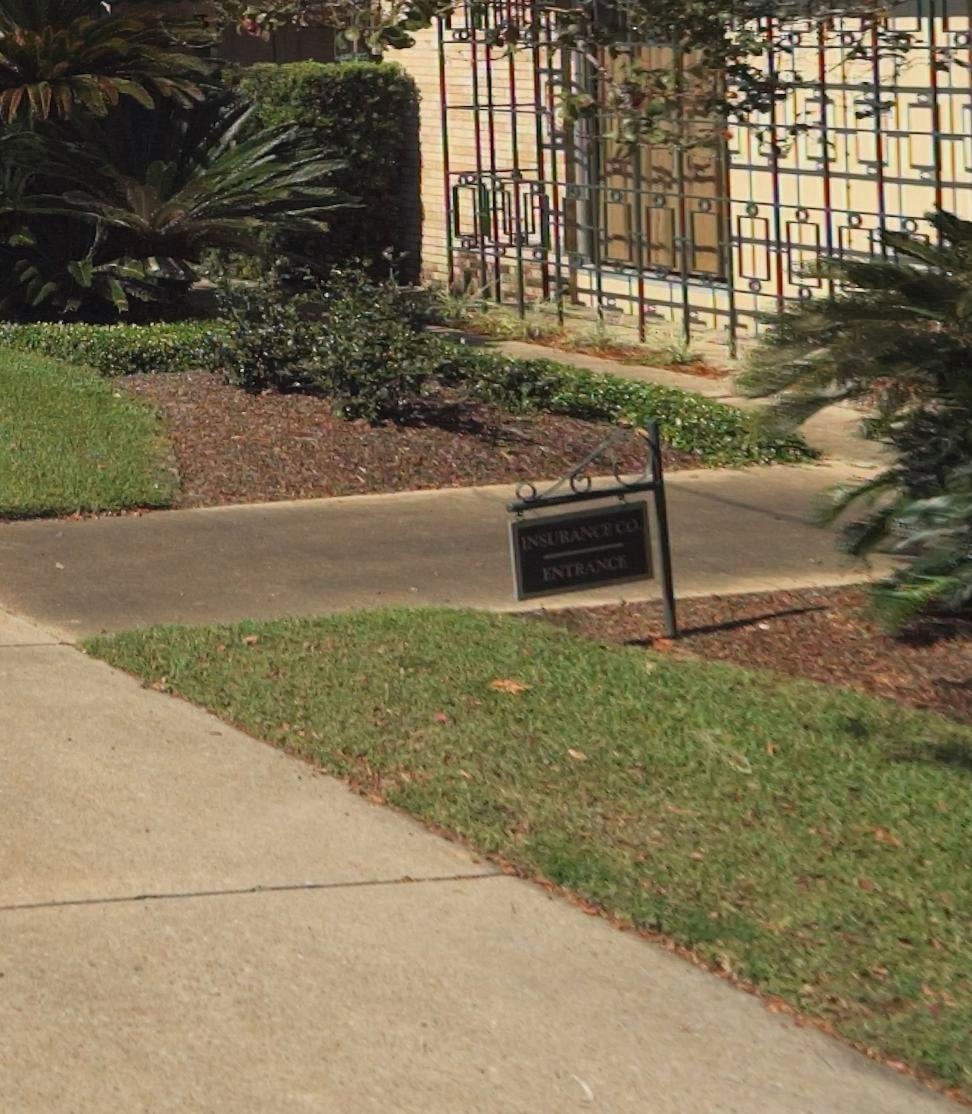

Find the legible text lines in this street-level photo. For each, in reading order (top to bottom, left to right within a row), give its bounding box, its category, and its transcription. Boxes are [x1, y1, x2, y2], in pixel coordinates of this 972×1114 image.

[518, 515, 646, 554] None: INSURANCE CO.
[538, 551, 629, 585] None: ENTRANCE